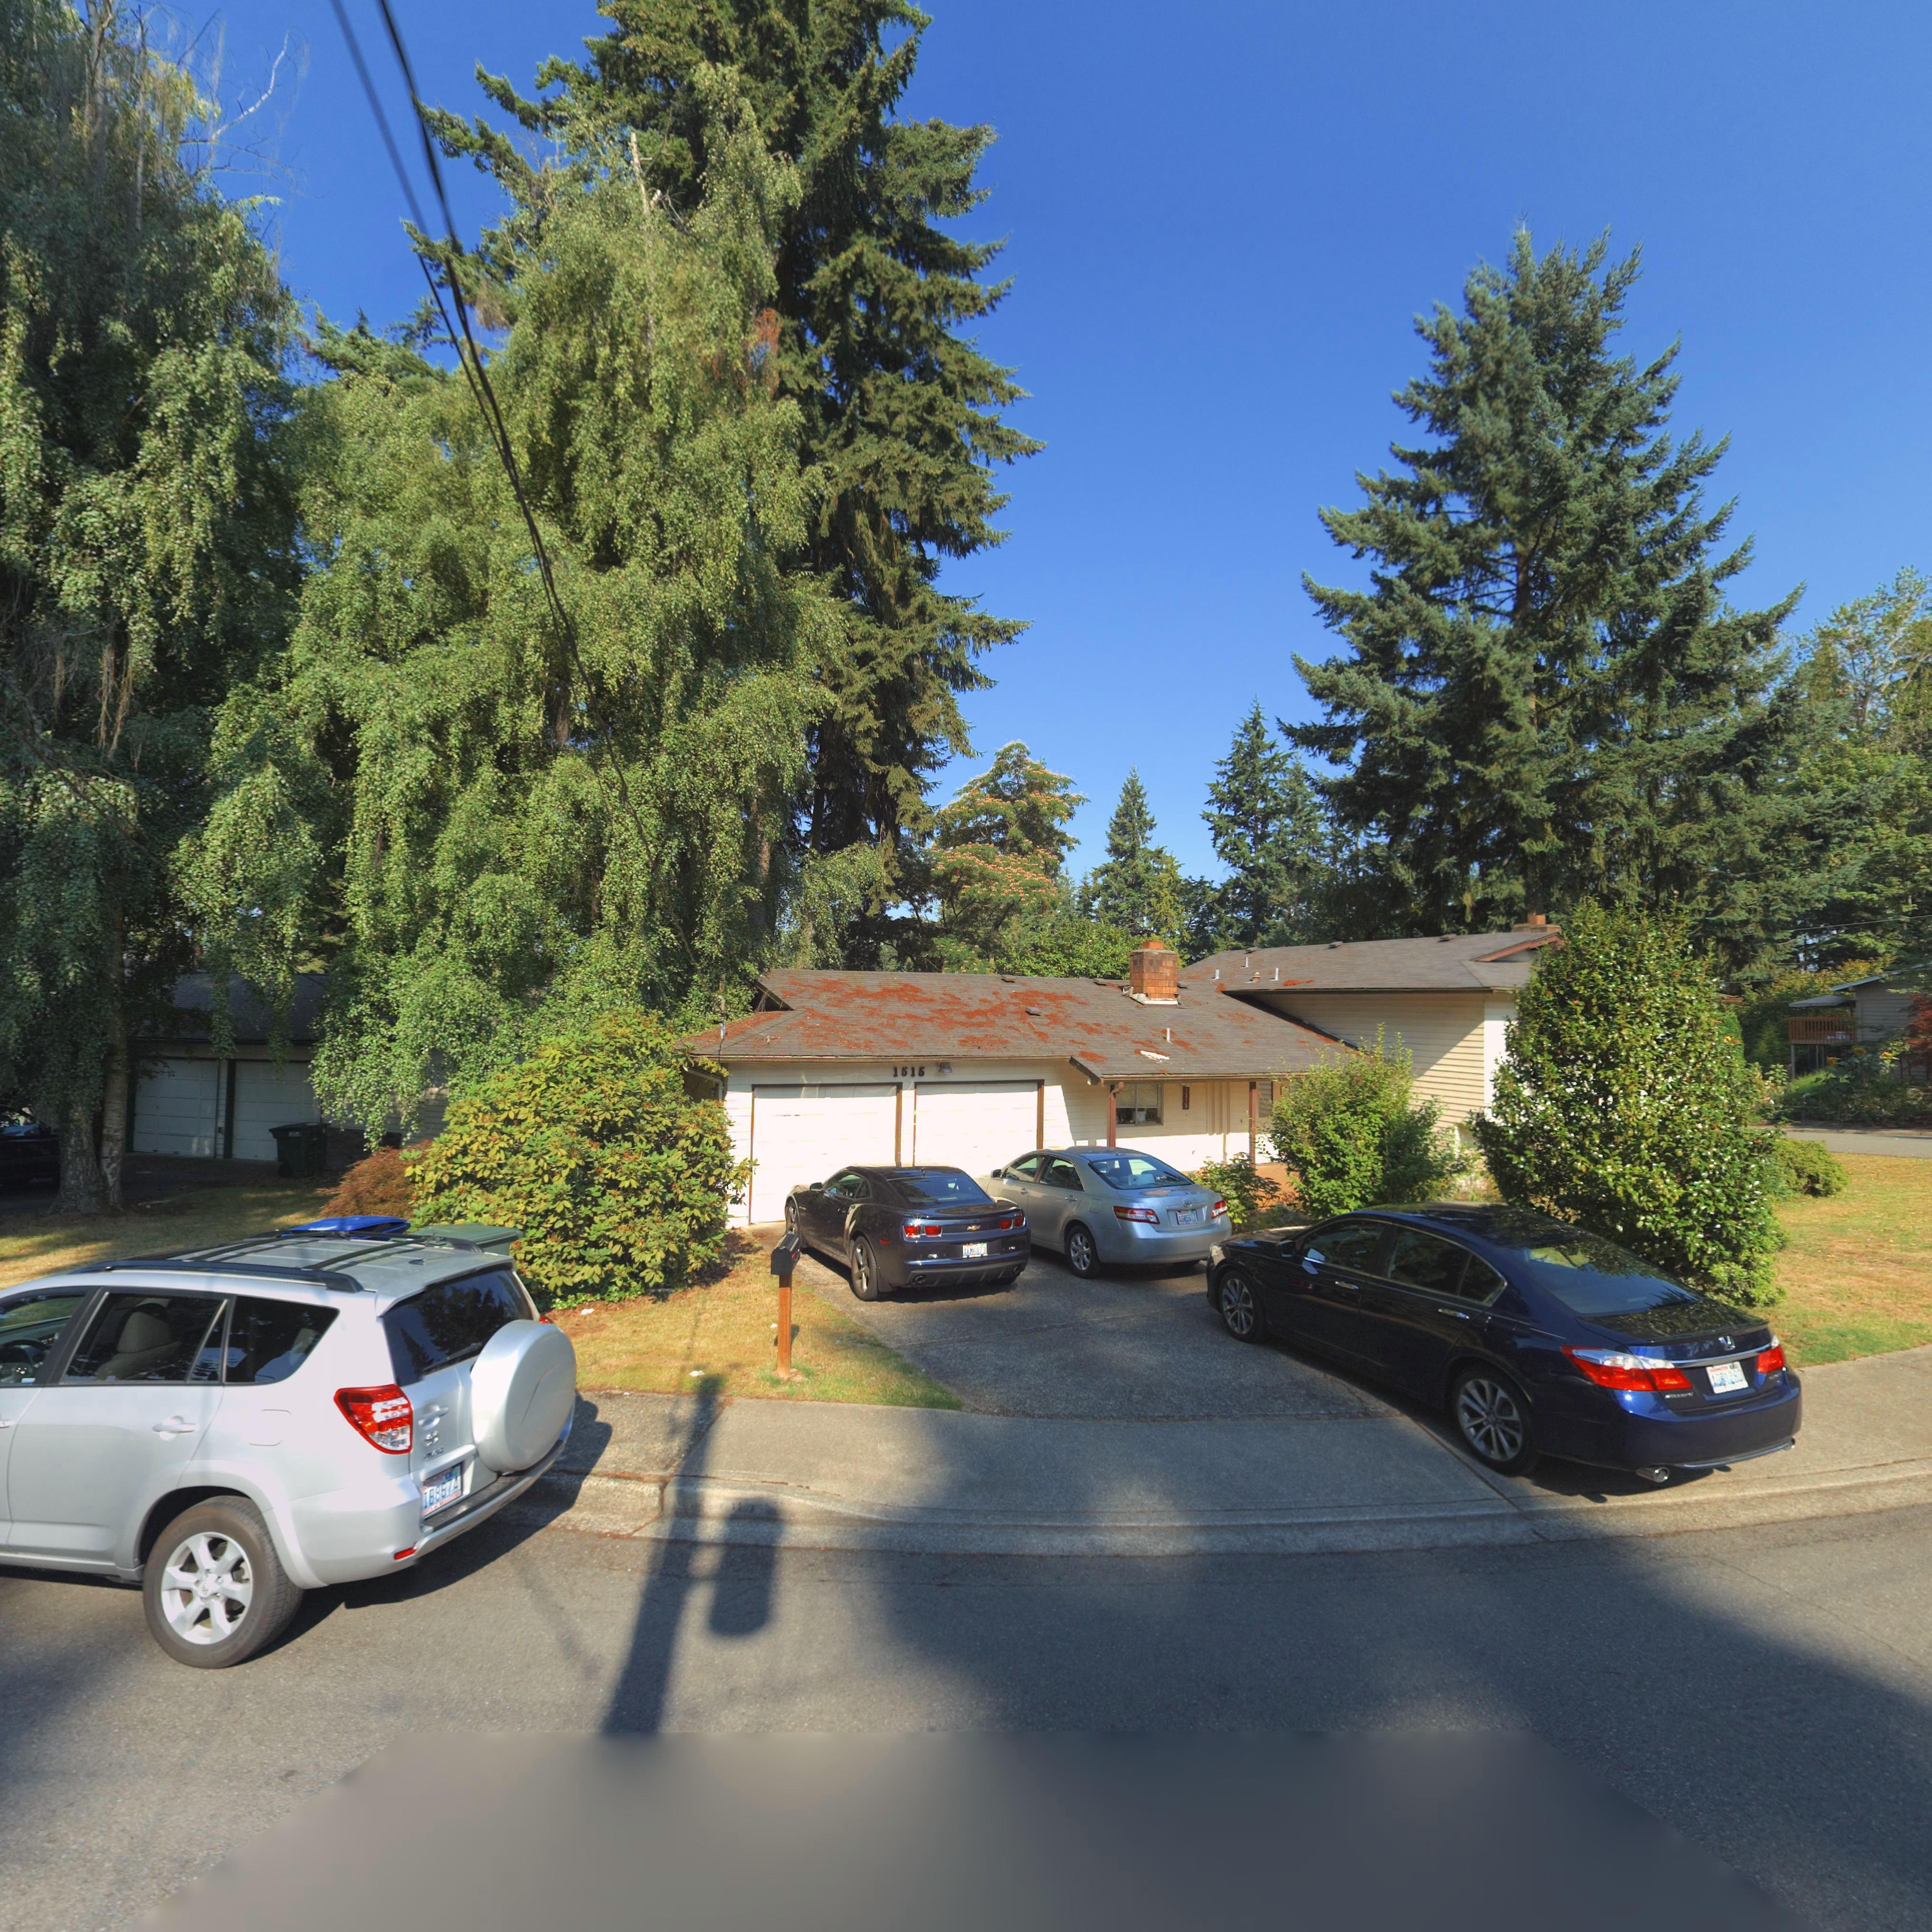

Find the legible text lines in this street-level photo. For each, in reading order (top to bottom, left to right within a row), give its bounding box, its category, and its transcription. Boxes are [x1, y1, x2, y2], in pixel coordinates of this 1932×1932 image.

[893, 1066, 926, 1078] StreetNumber: 1515